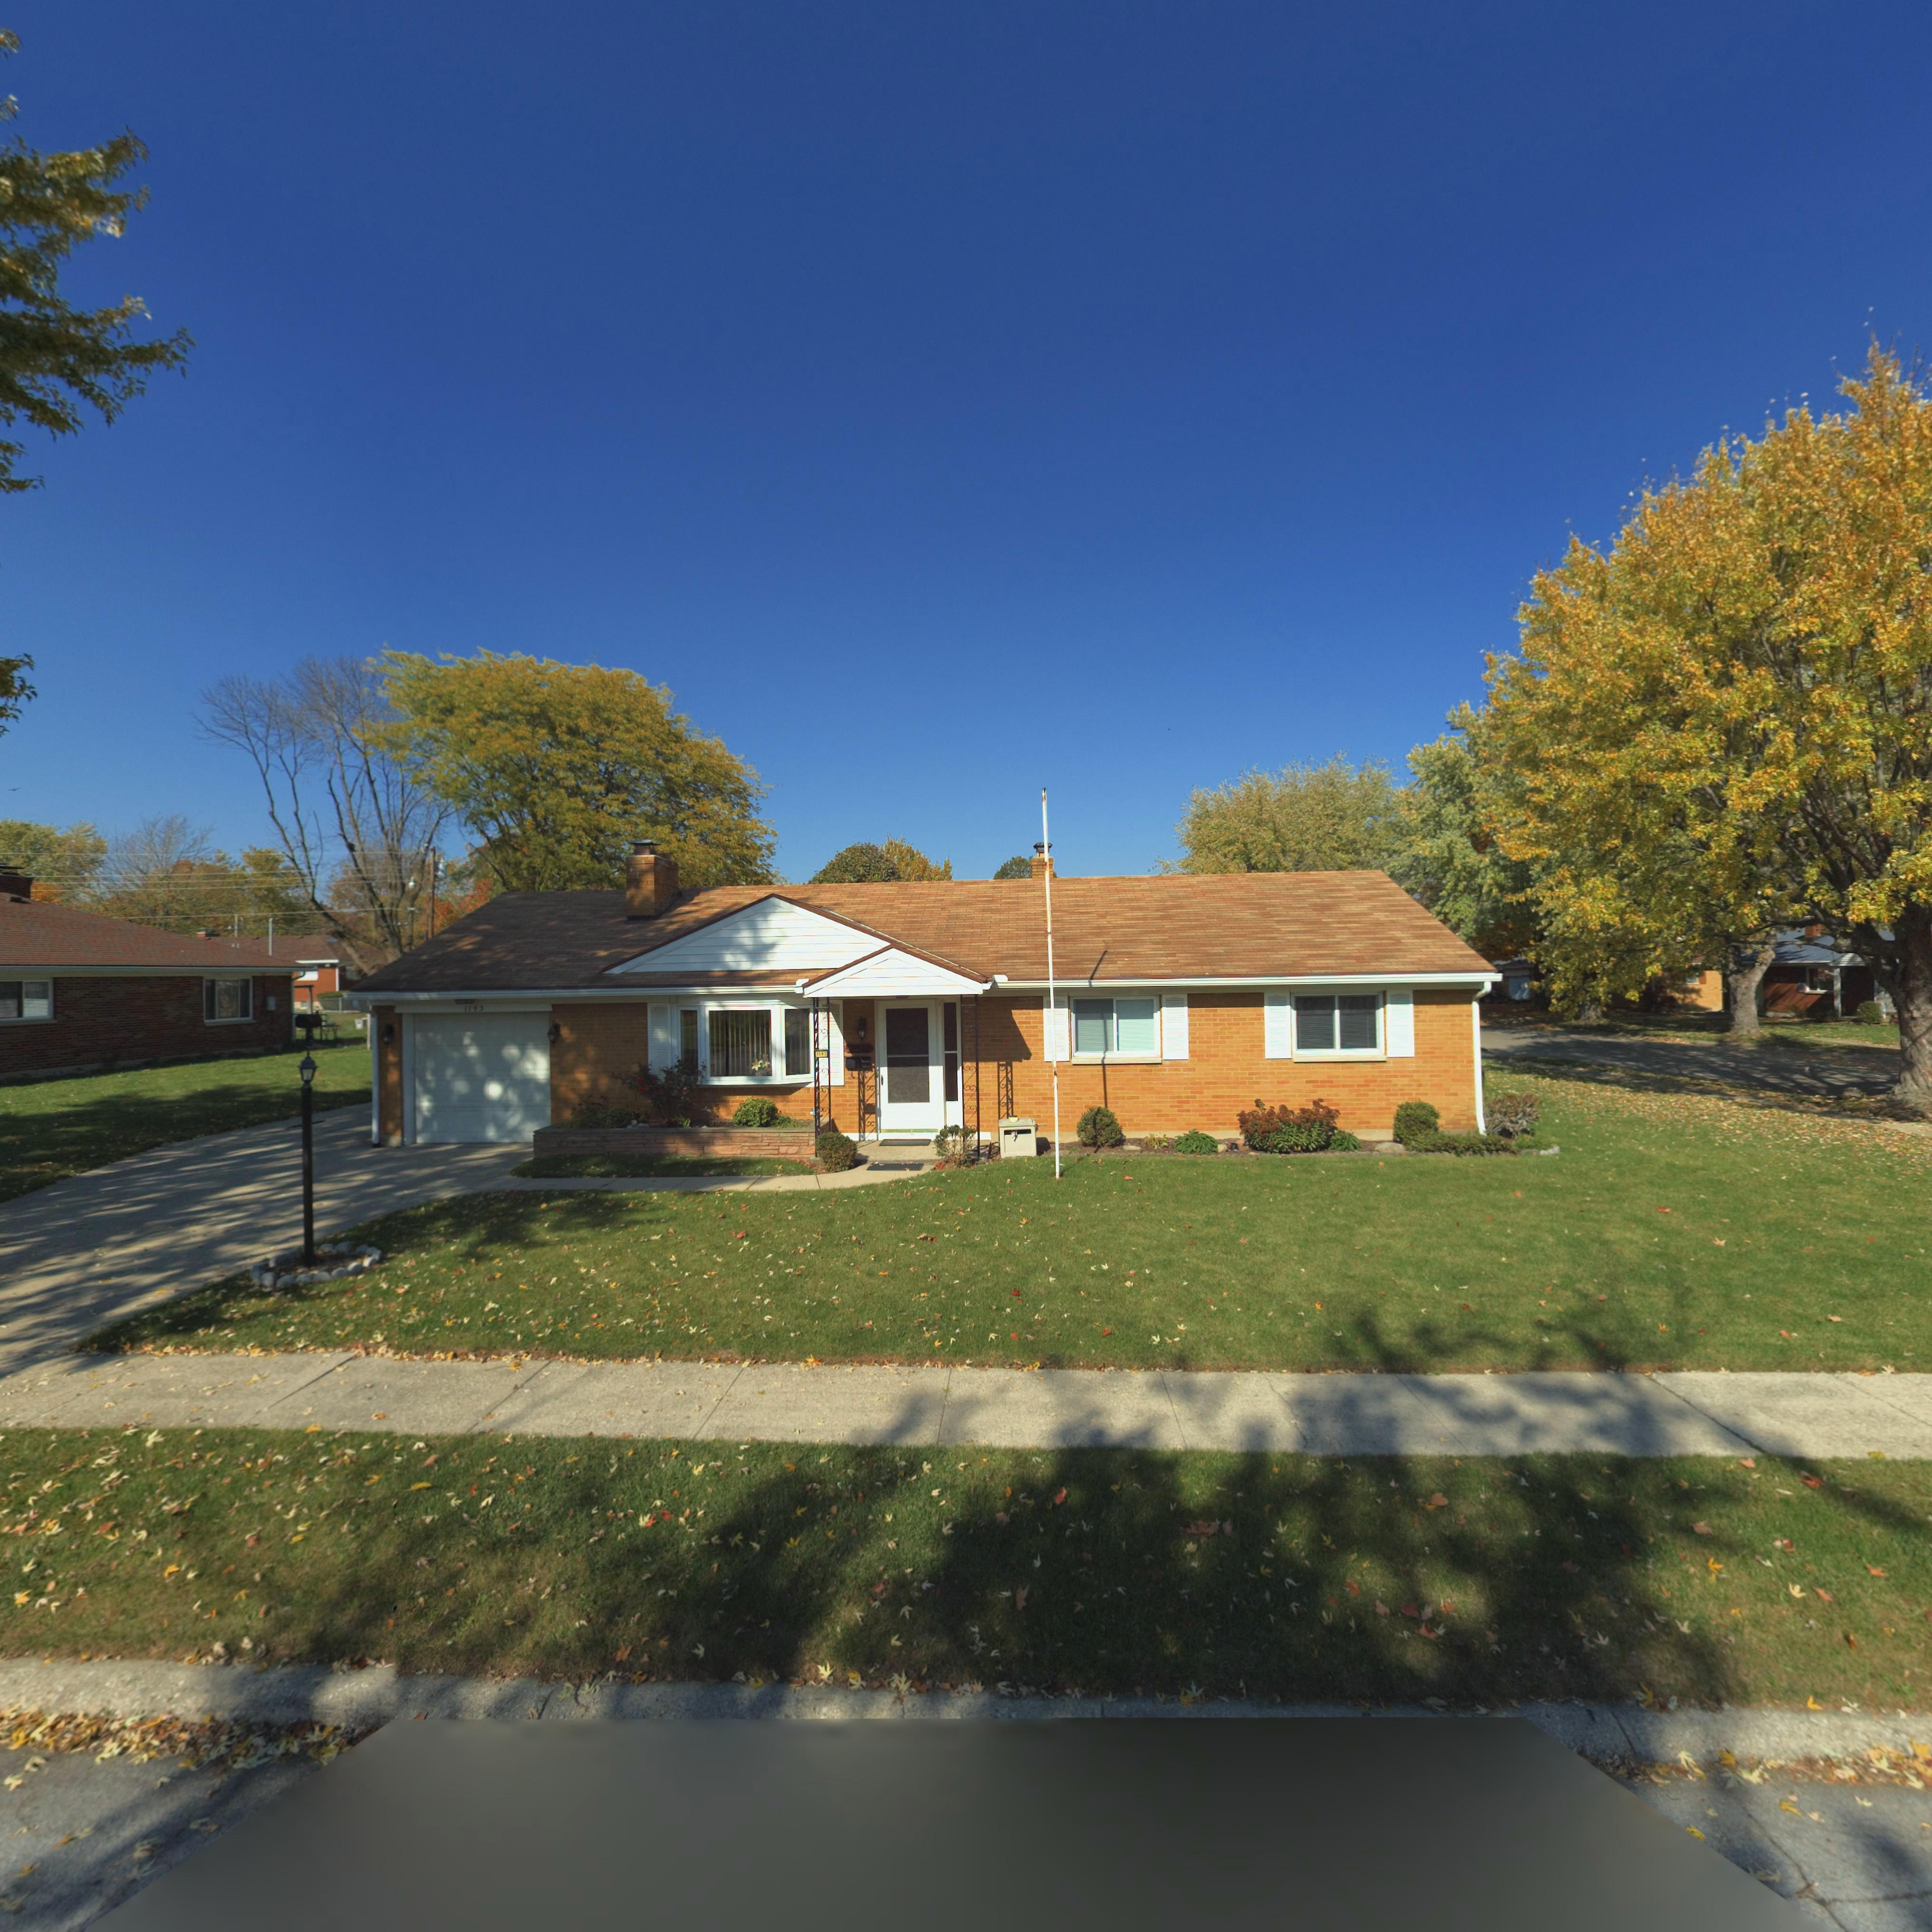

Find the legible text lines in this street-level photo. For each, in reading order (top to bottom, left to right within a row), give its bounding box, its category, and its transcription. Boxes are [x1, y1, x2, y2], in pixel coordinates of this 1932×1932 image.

[463, 1004, 484, 1012] StreetNumber: 1143
[815, 1051, 826, 1056] StreetNumber: 1143